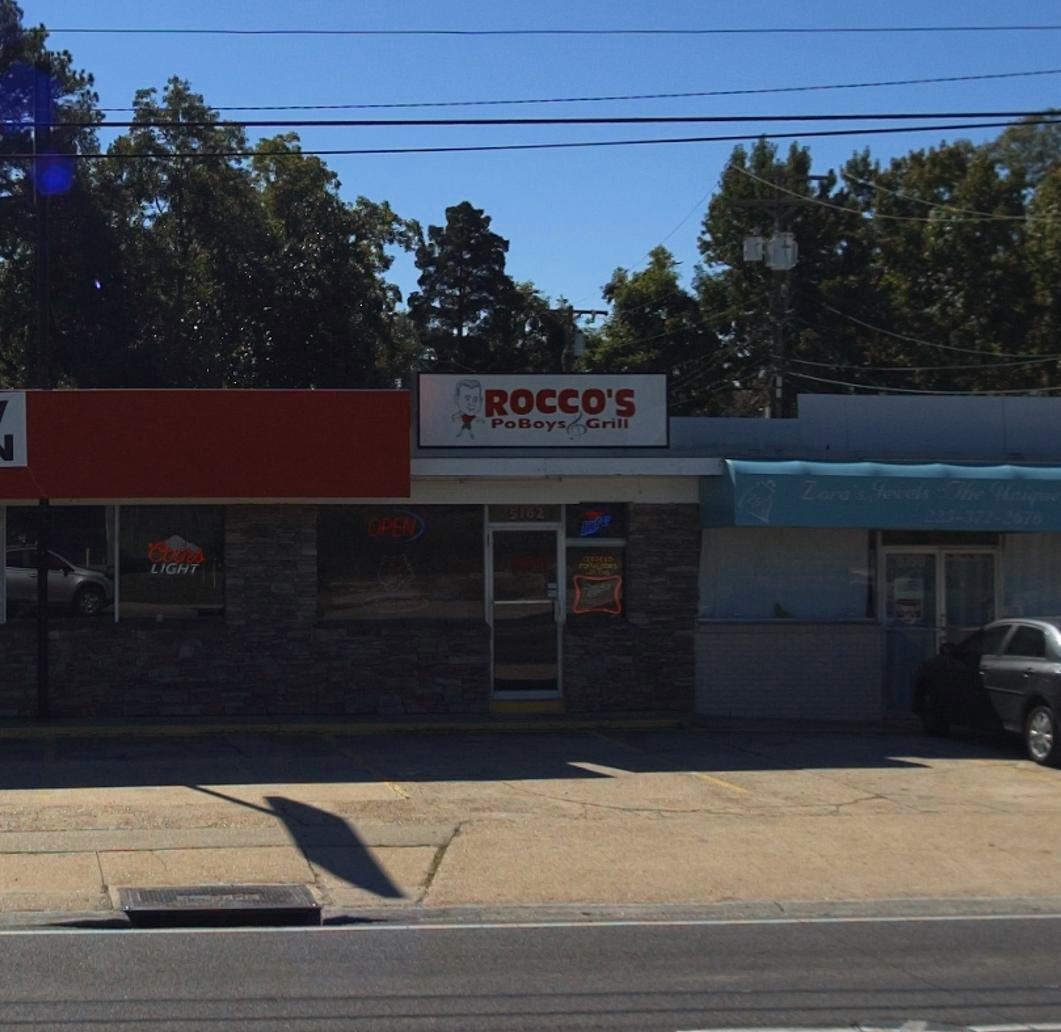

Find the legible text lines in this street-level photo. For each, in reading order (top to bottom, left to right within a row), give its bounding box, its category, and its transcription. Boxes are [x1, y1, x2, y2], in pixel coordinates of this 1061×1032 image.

[482, 386, 639, 420] BusinessName: ROCCO'S
[490, 415, 632, 435] BusinessName: PoBoys * Grill
[797, 475, 937, 508] BusinessName: Zora's Jewels
[947, 472, 1060, 514] None: The Maique
[365, 515, 420, 540] None: OPEN
[507, 505, 547, 523] StreetNumber: 5162
[920, 506, 1047, 529] None: 225-372-2676
[147, 538, 206, 566] None: Coors
[147, 560, 202, 577] None: LIGHT